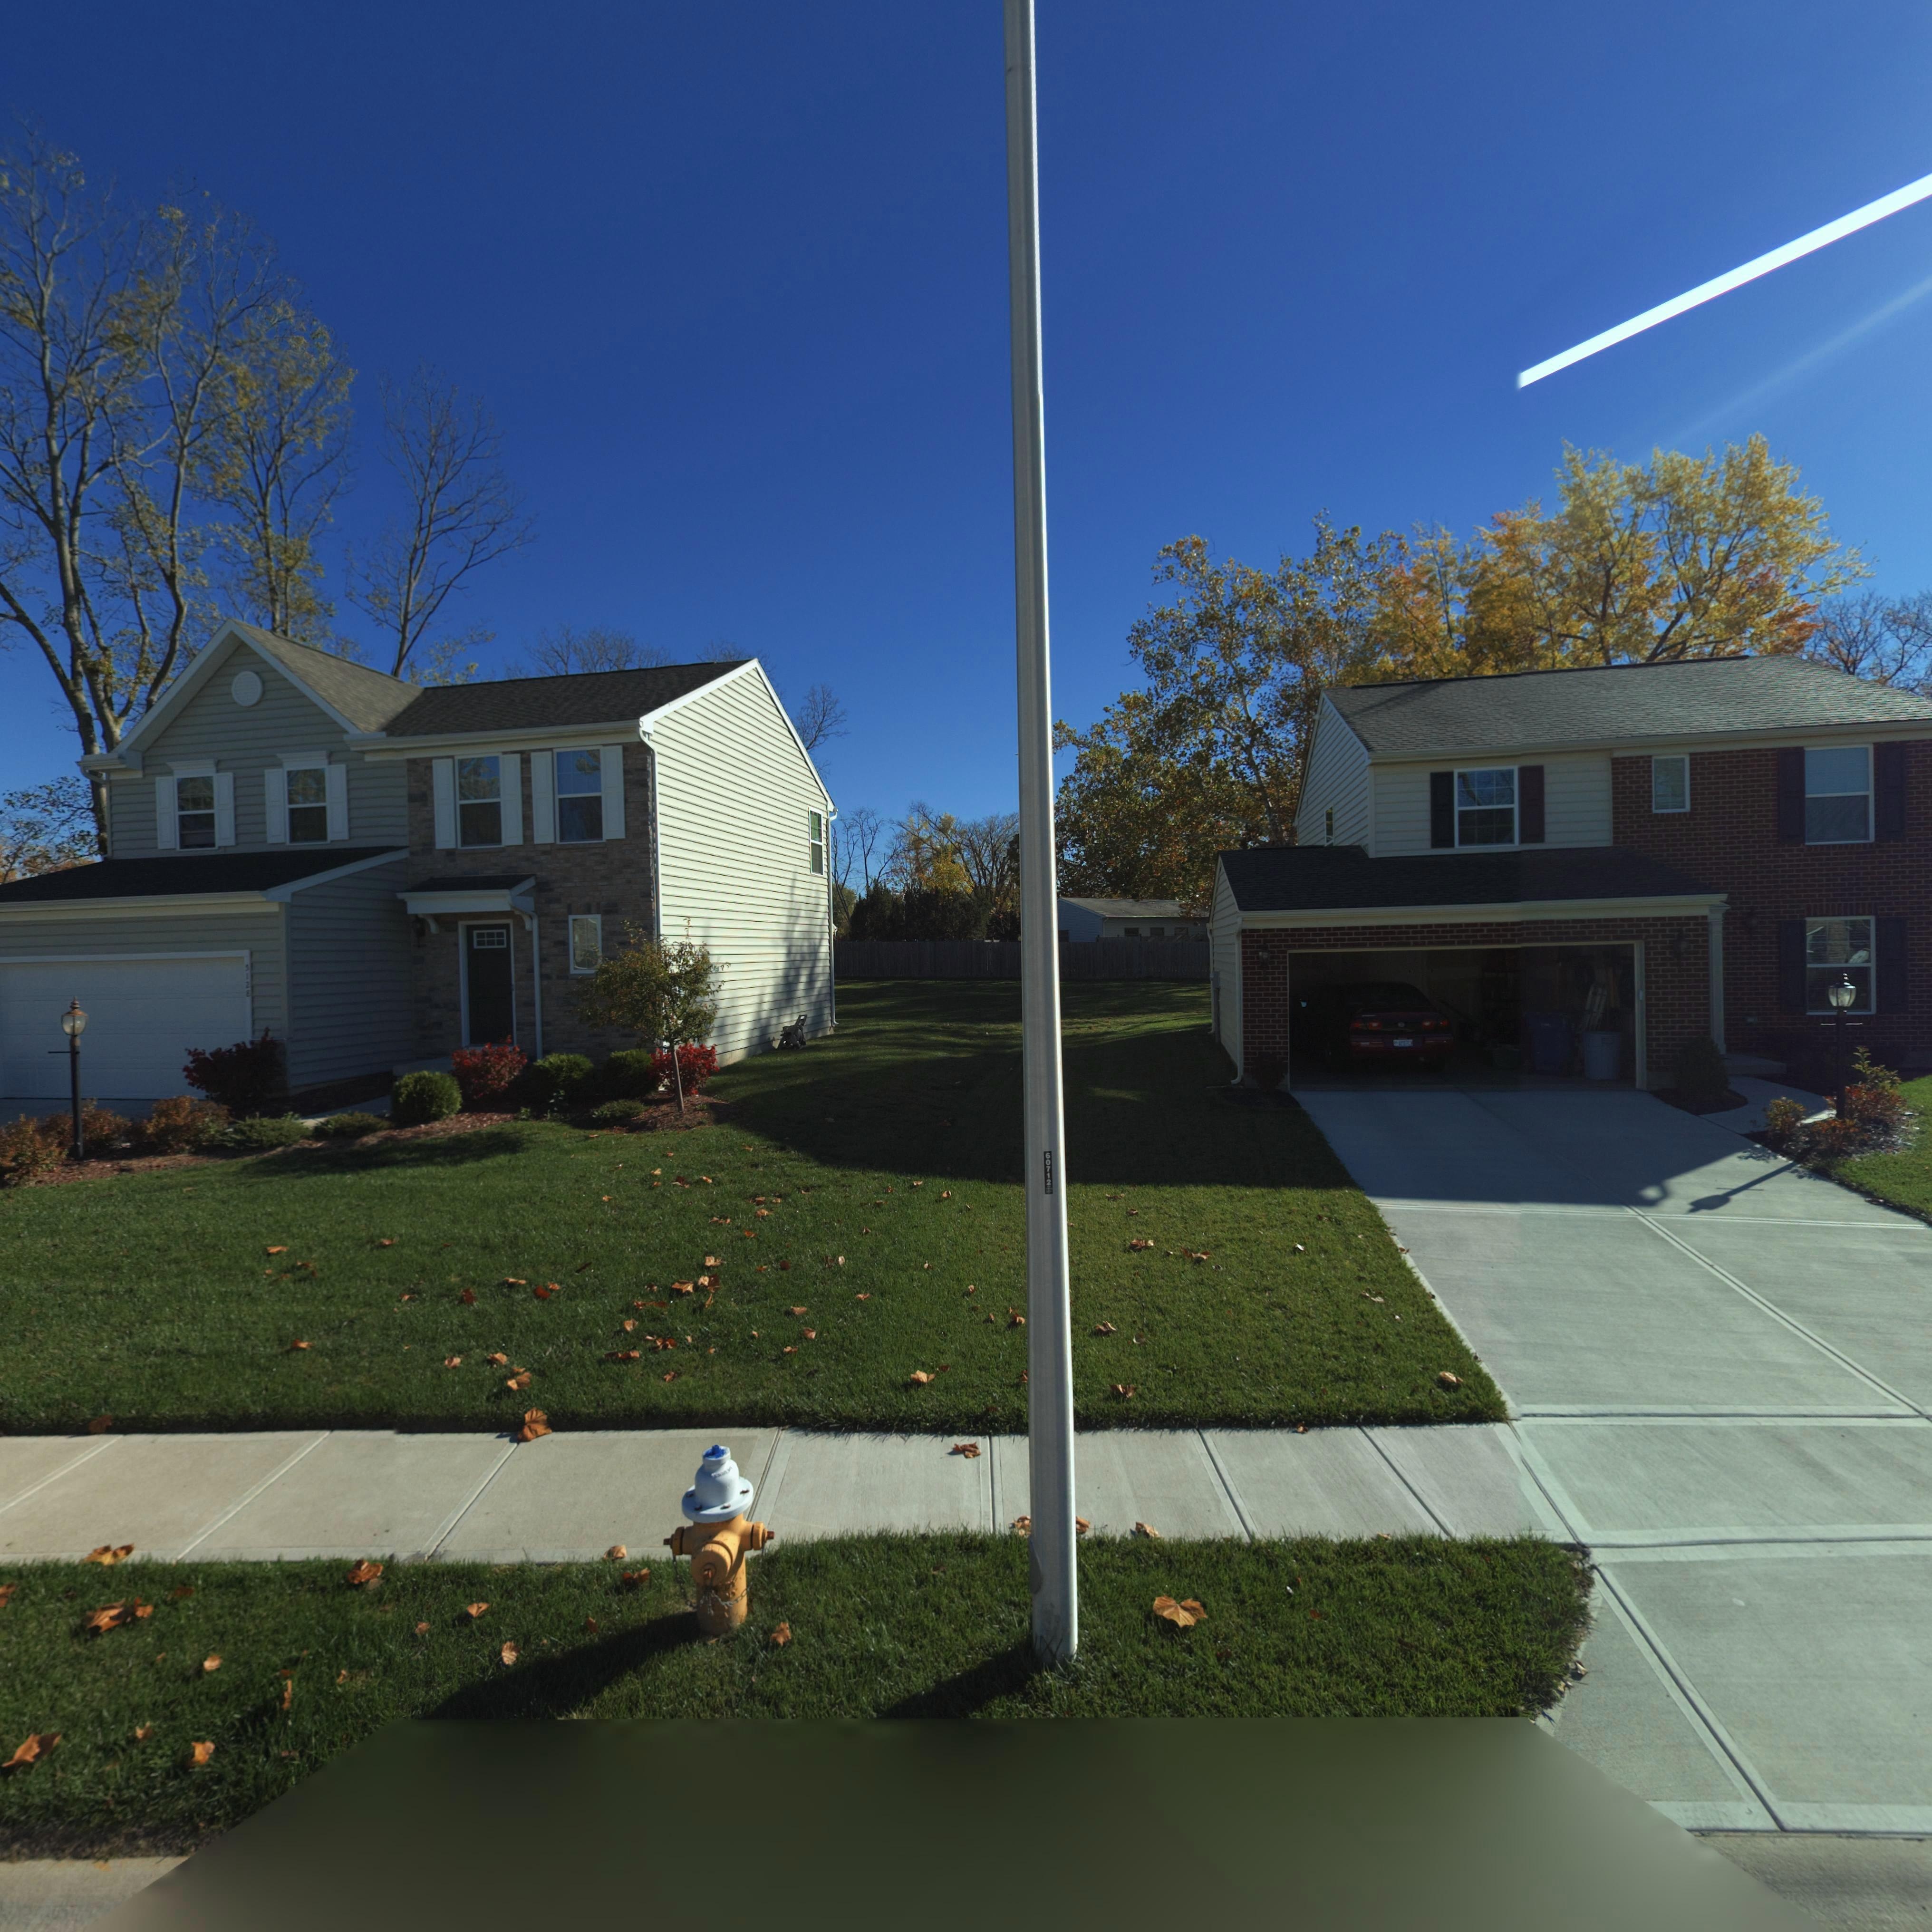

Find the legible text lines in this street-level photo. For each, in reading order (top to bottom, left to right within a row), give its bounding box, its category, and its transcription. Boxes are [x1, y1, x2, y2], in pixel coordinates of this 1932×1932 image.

[244, 964, 251, 998] StreetNumber: 5128